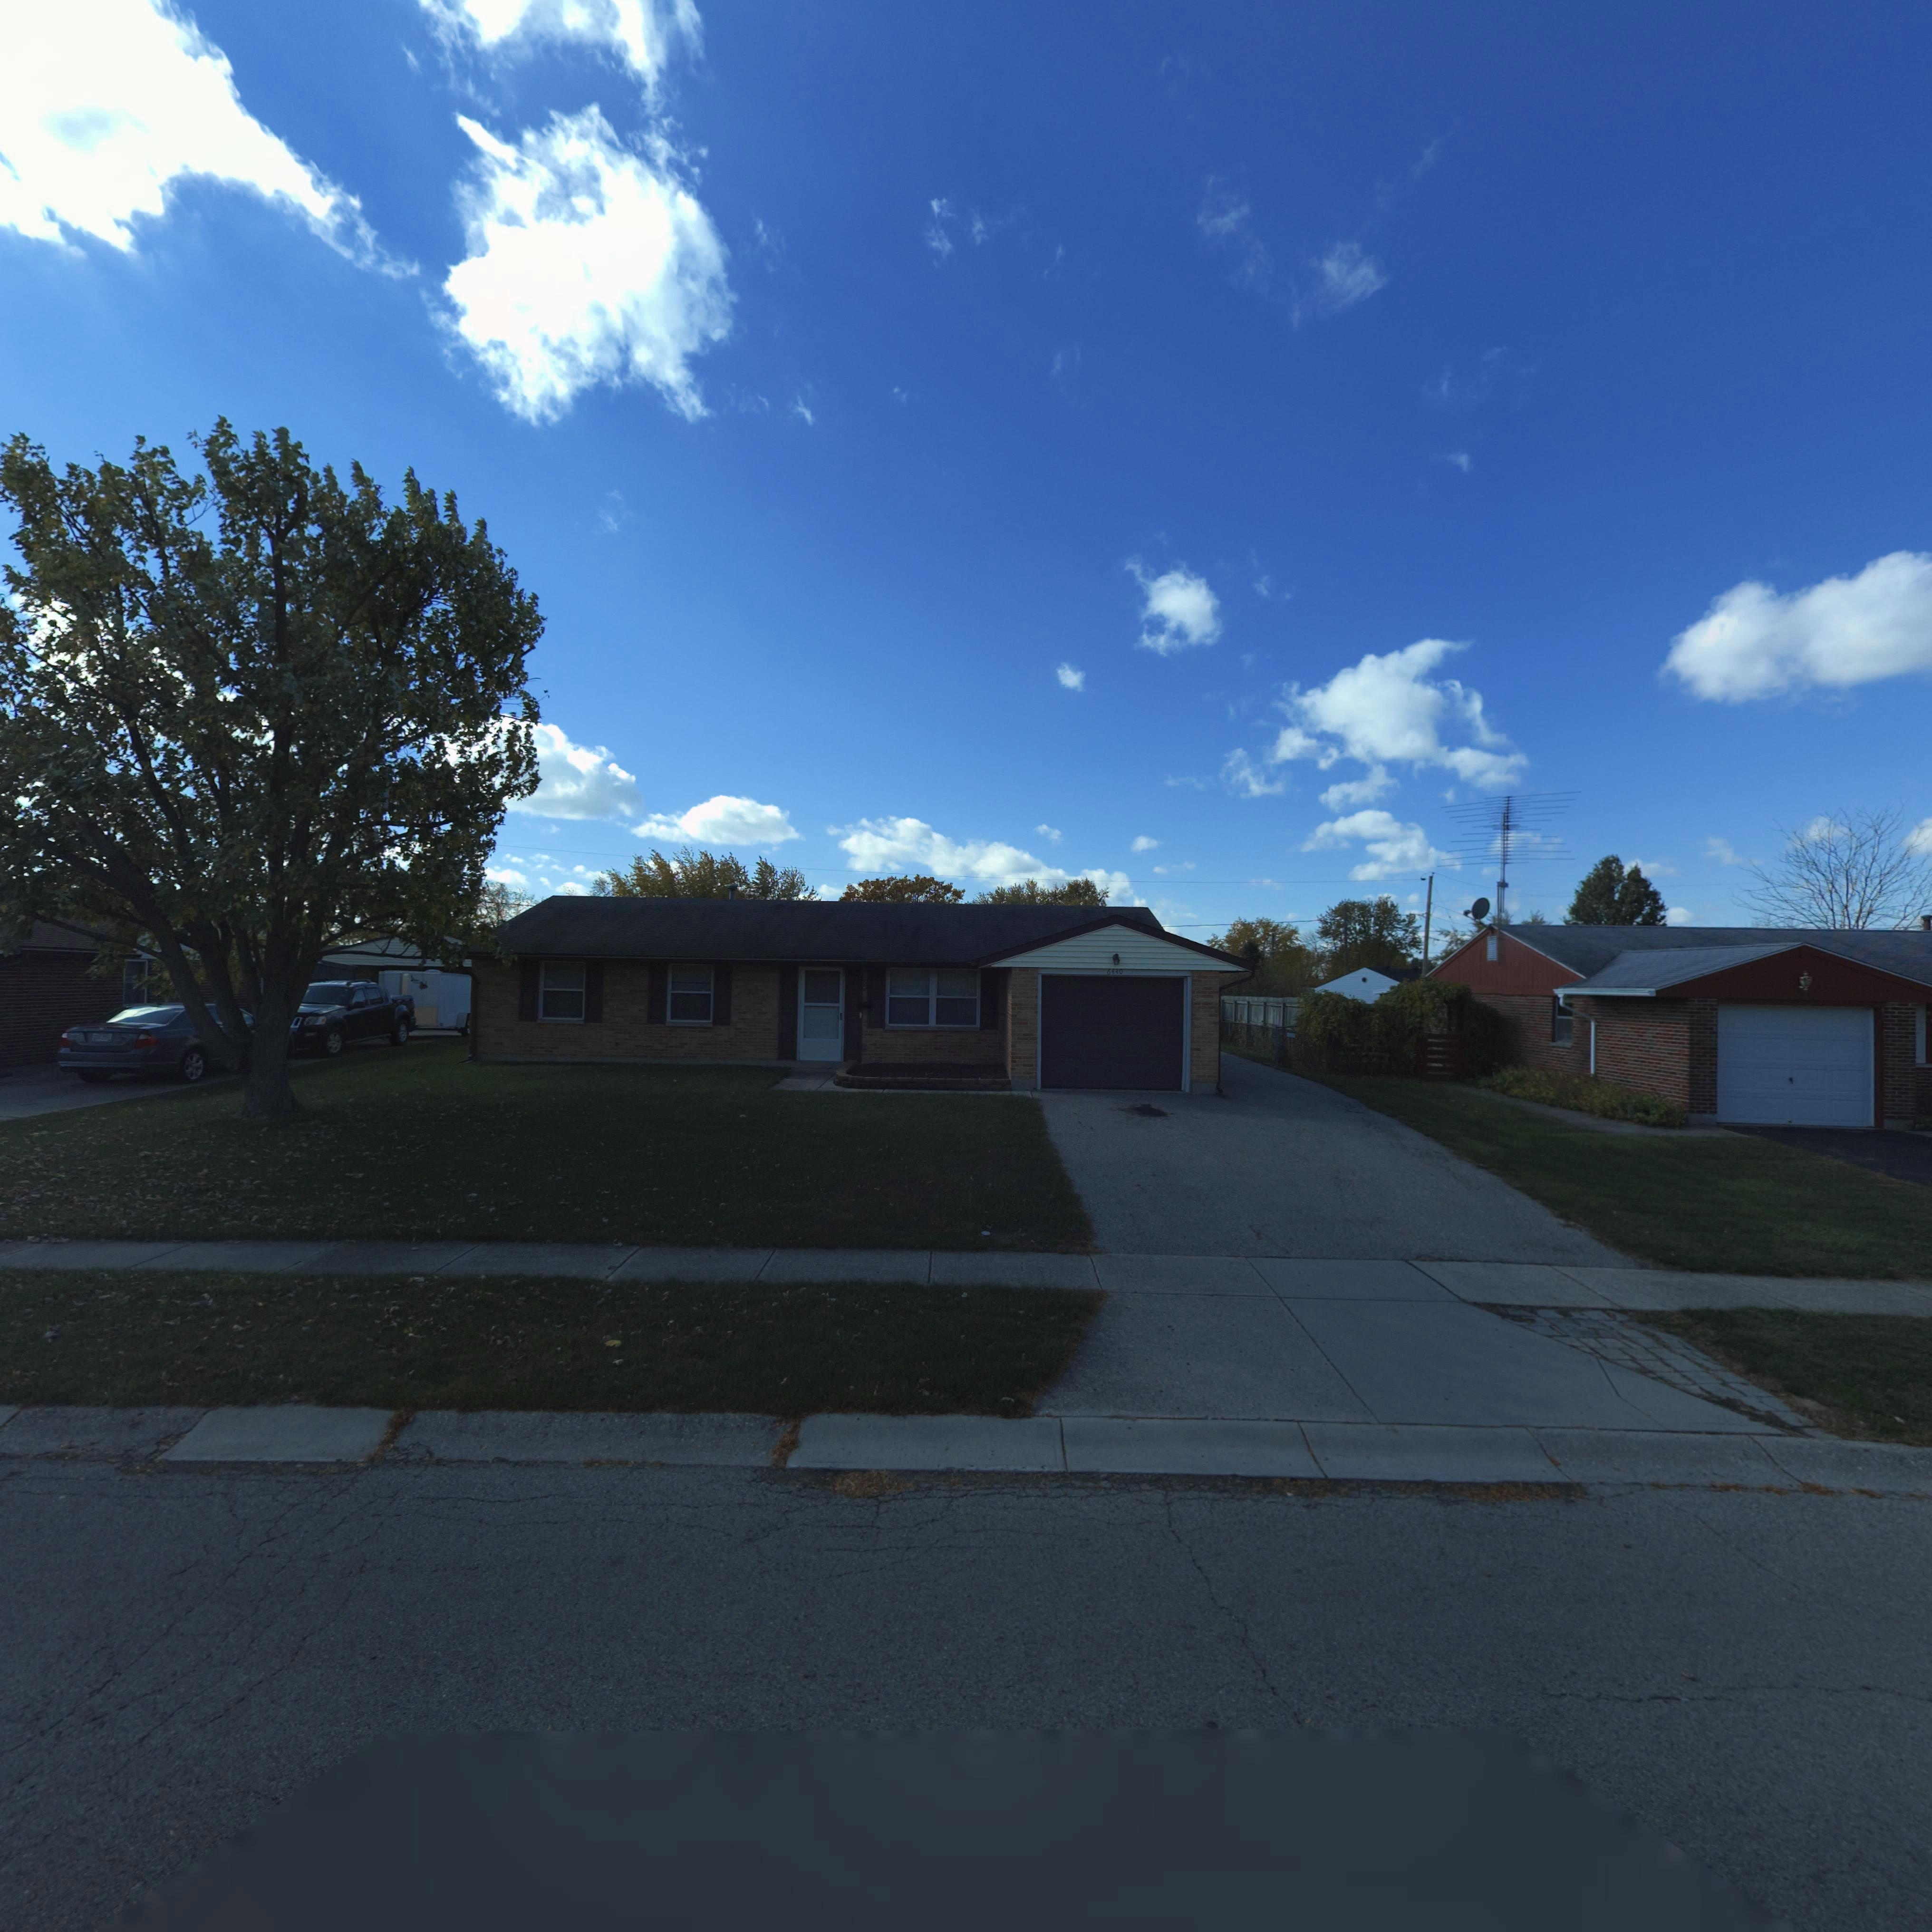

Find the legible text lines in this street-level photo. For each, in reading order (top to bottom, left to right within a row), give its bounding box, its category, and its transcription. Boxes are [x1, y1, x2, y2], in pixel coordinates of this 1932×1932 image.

[1106, 968, 1123, 976] StreetNumber: 6440